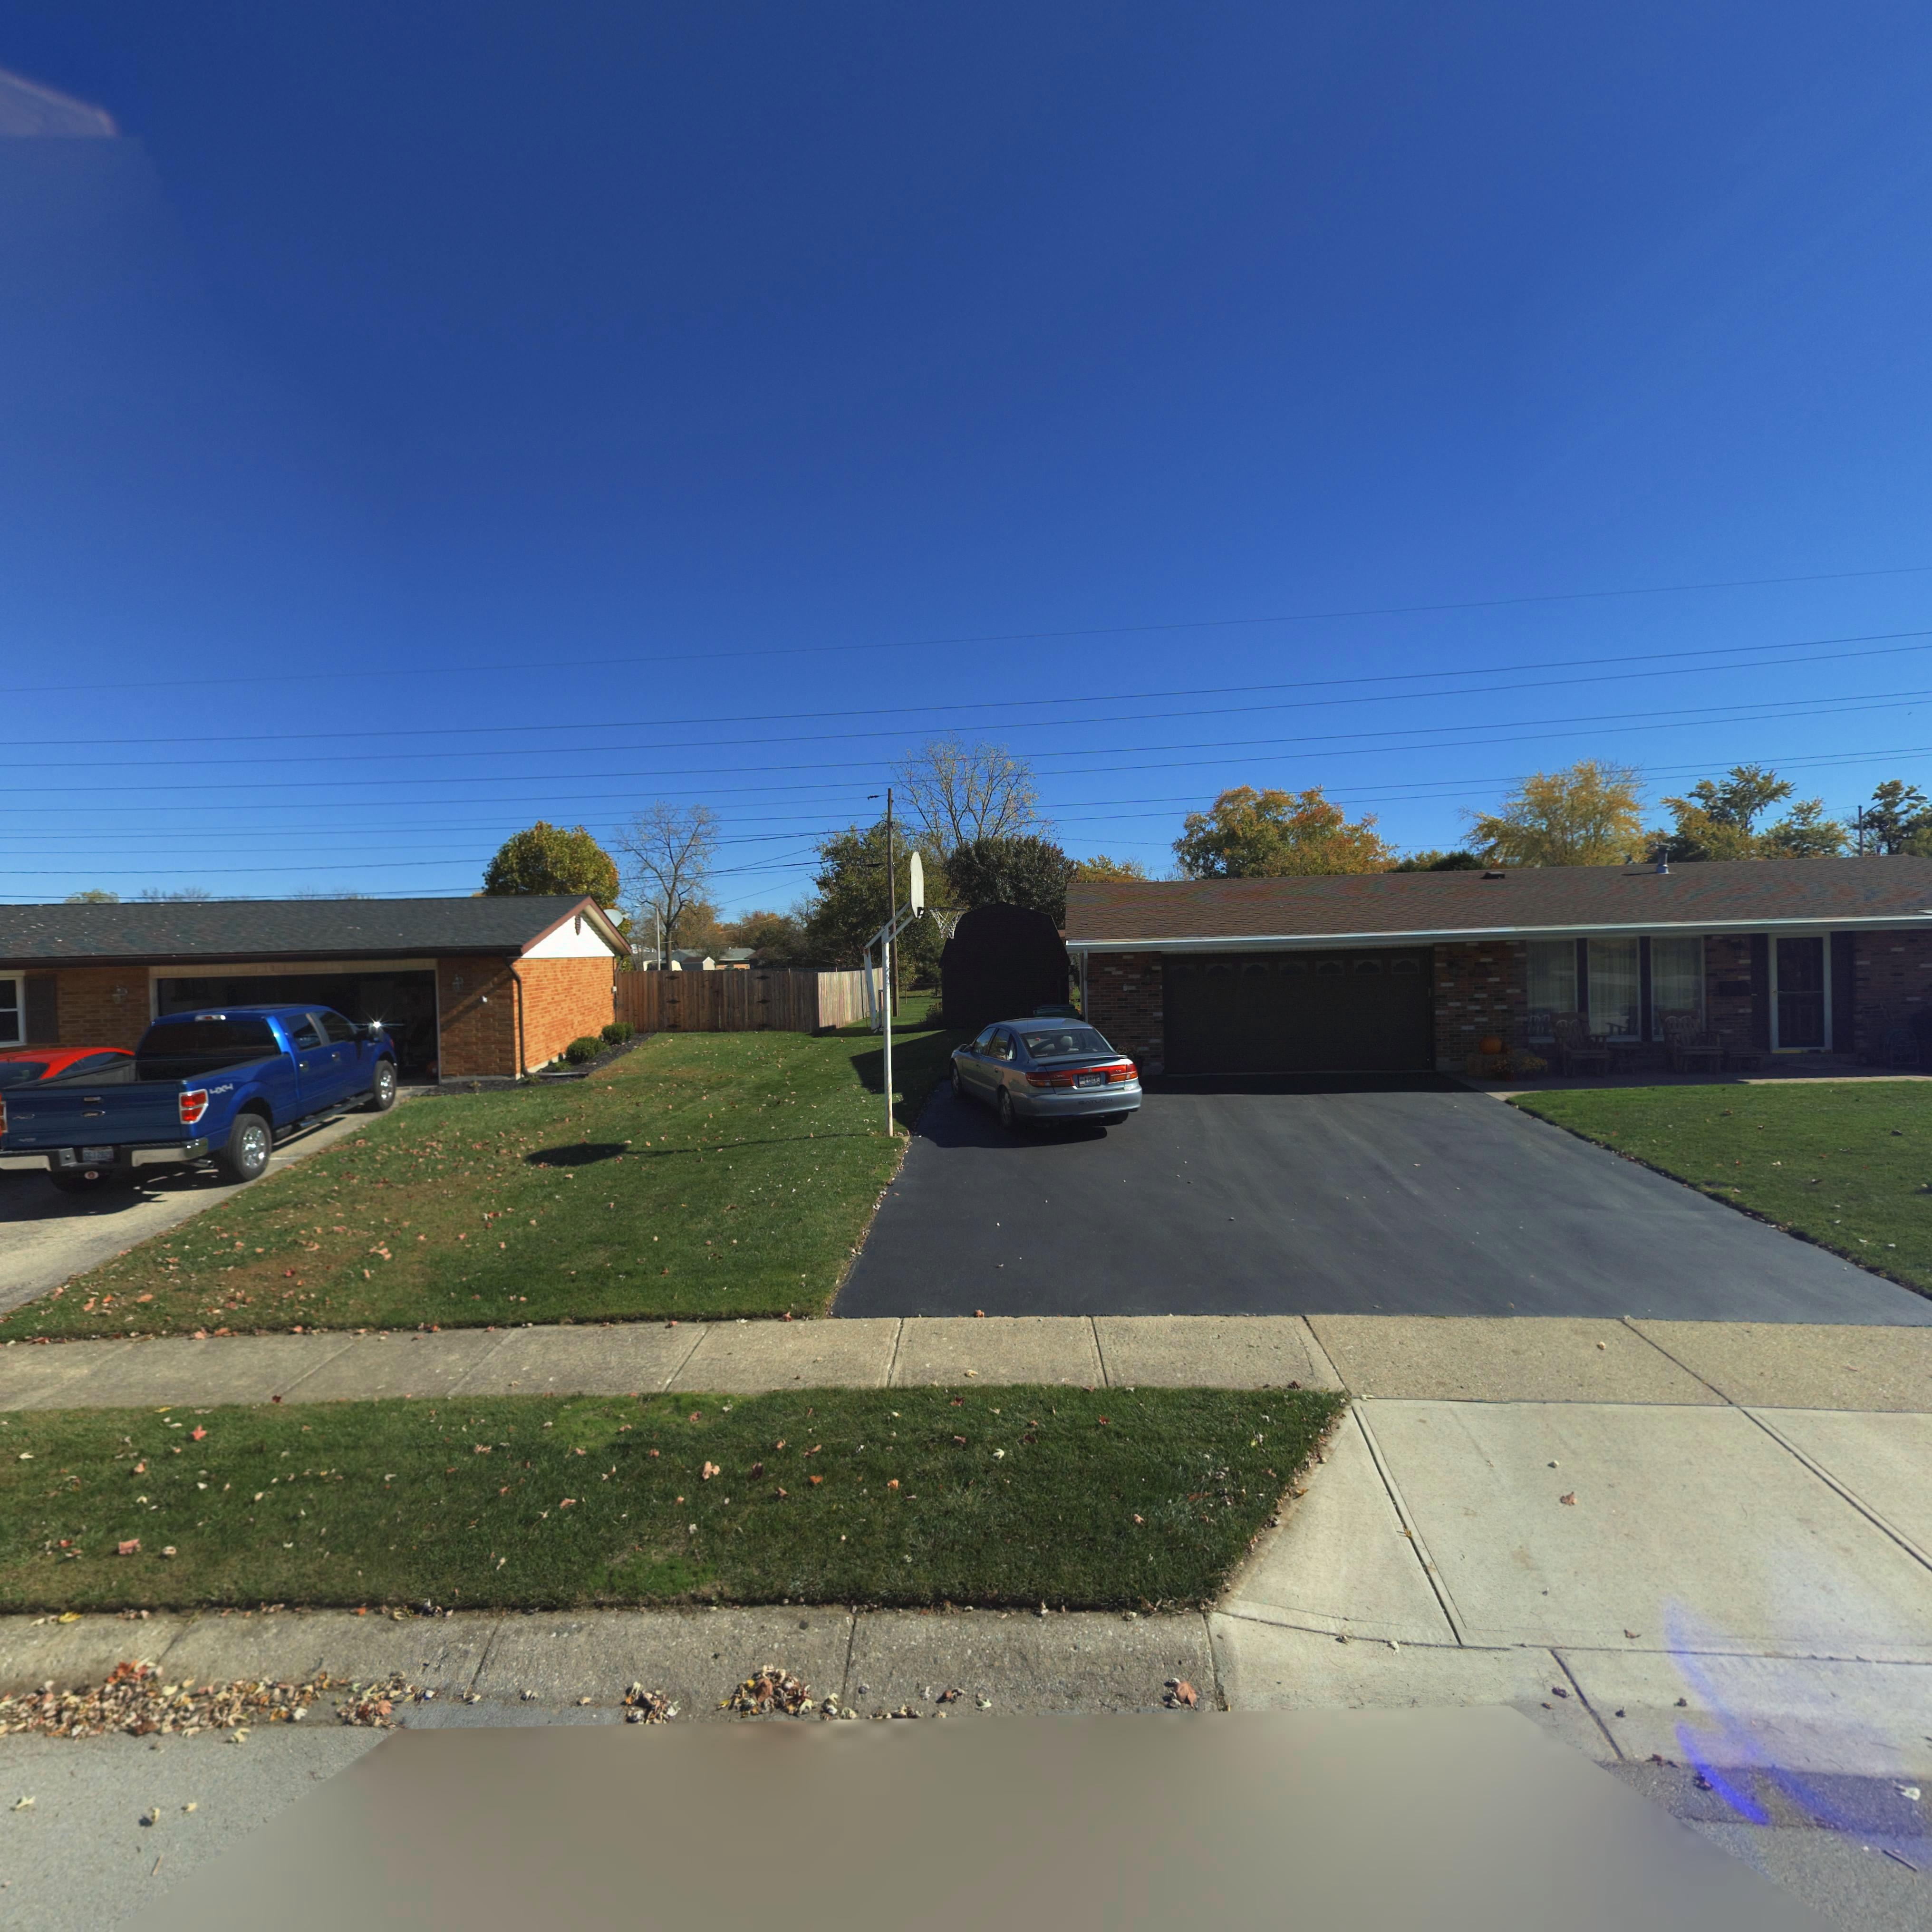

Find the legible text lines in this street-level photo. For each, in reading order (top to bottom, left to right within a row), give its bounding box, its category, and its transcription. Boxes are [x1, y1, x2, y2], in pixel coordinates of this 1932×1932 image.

[262, 963, 287, 972] StreetNumber: 1011